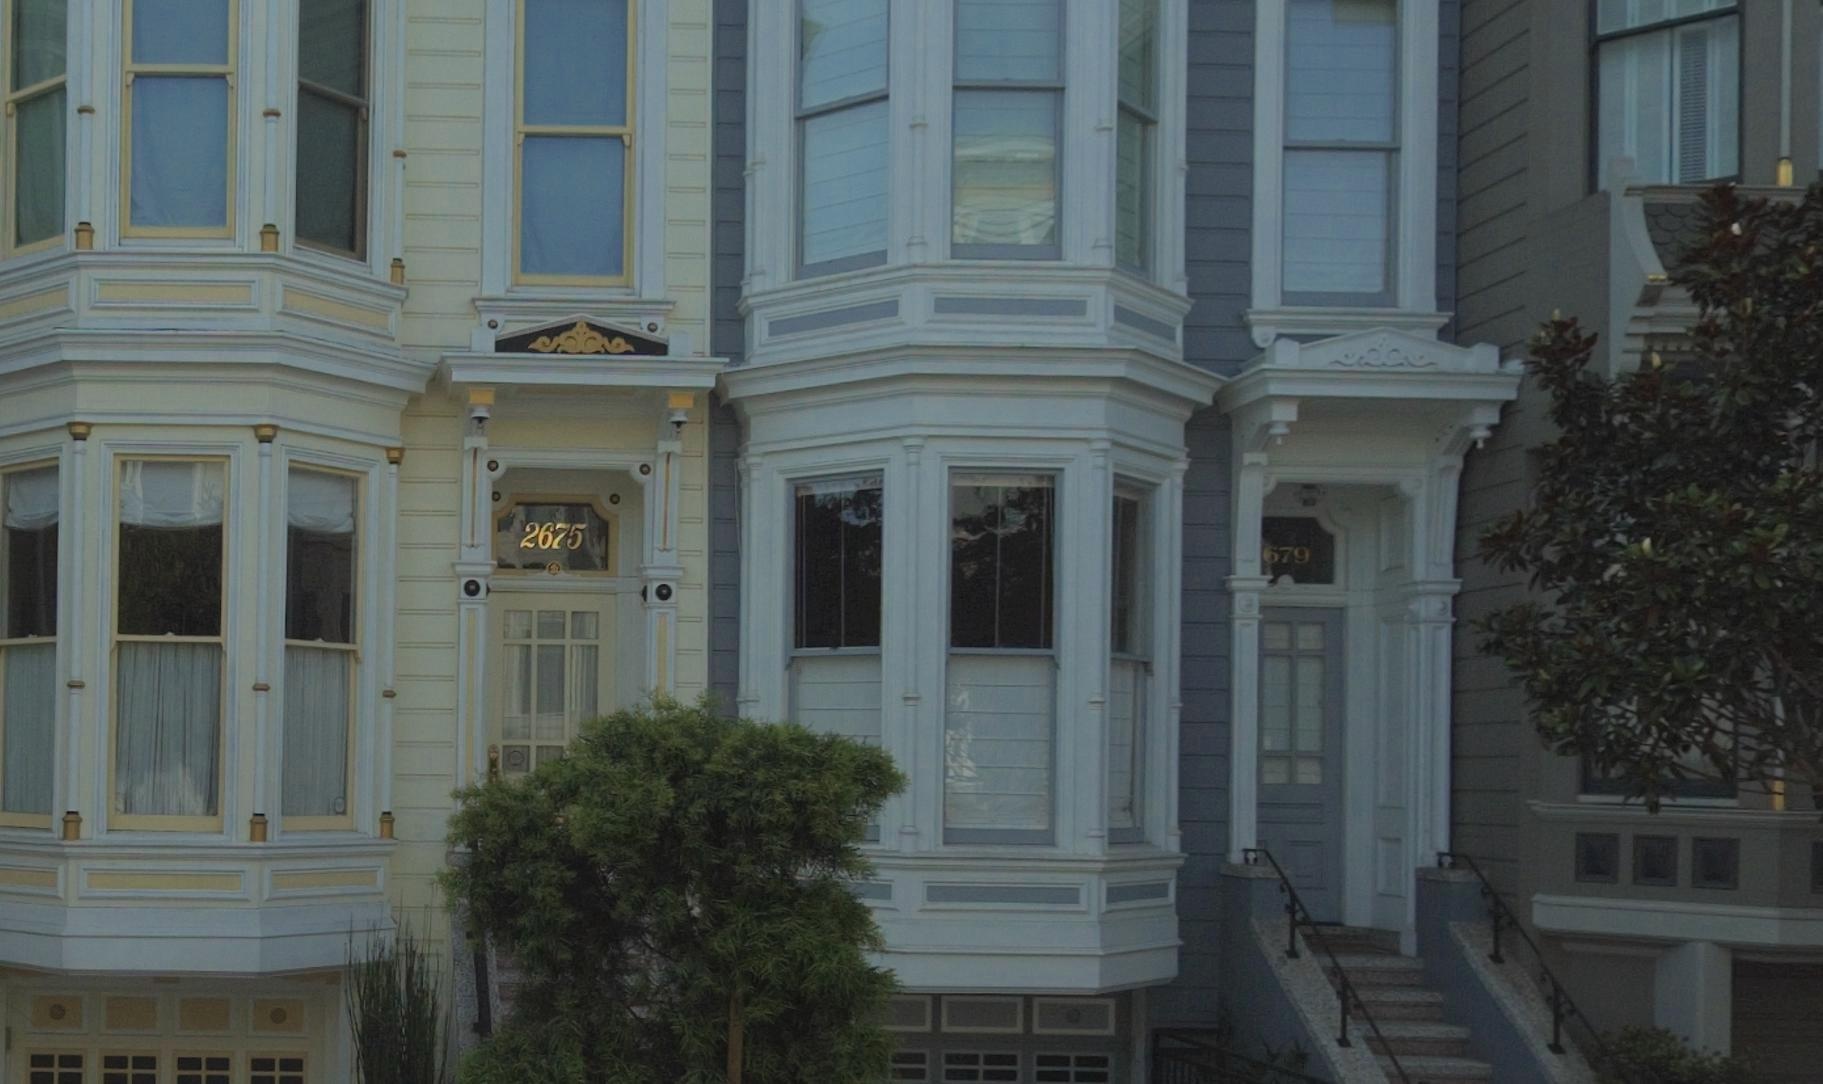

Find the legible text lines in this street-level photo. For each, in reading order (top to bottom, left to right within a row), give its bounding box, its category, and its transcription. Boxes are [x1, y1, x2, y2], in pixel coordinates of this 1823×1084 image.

[517, 519, 589, 552] StreetNumber: 2675
[1261, 544, 1311, 566] StreetNumber: 679